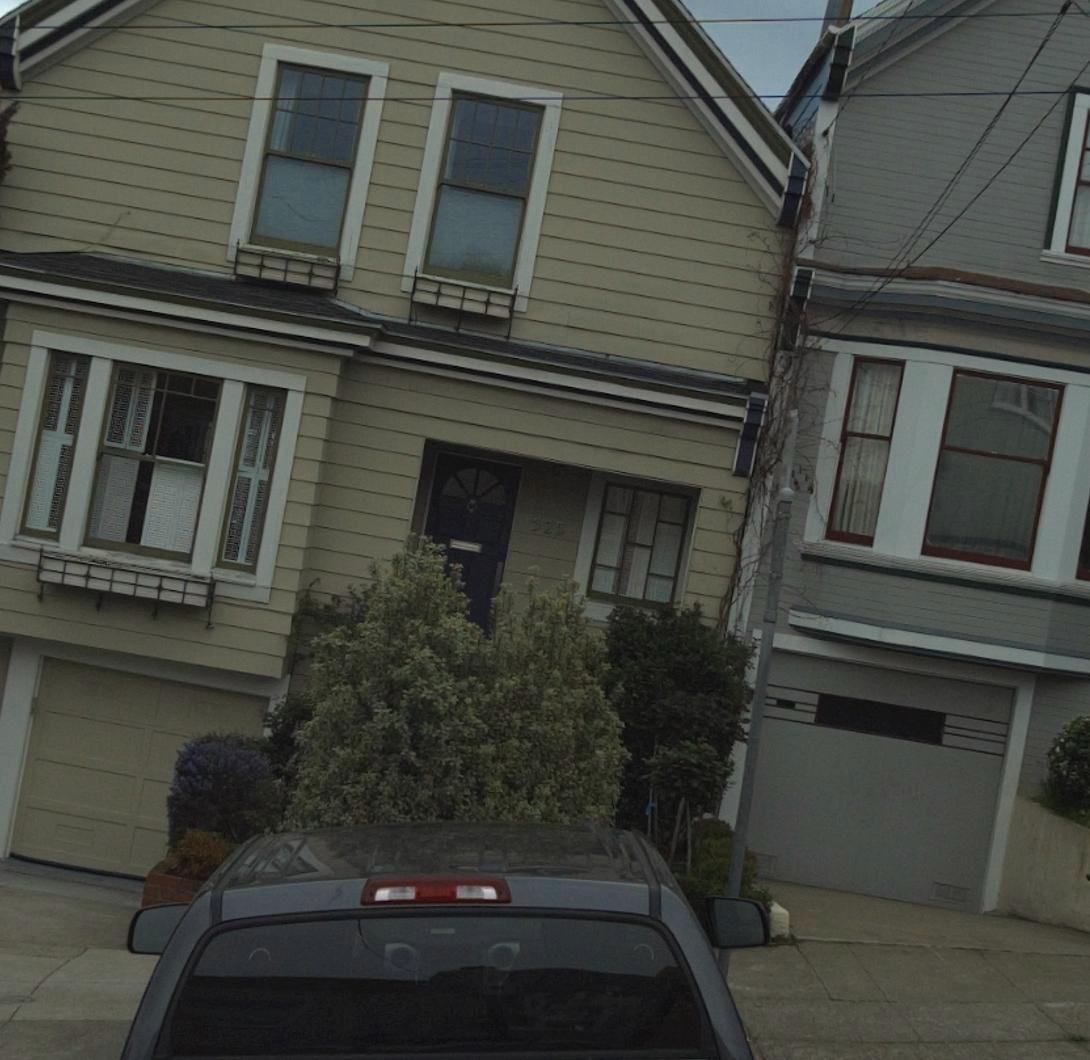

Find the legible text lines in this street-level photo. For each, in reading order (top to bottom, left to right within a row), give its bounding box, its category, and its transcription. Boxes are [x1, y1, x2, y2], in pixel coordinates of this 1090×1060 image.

[527, 515, 567, 538] StreetNumber: 525